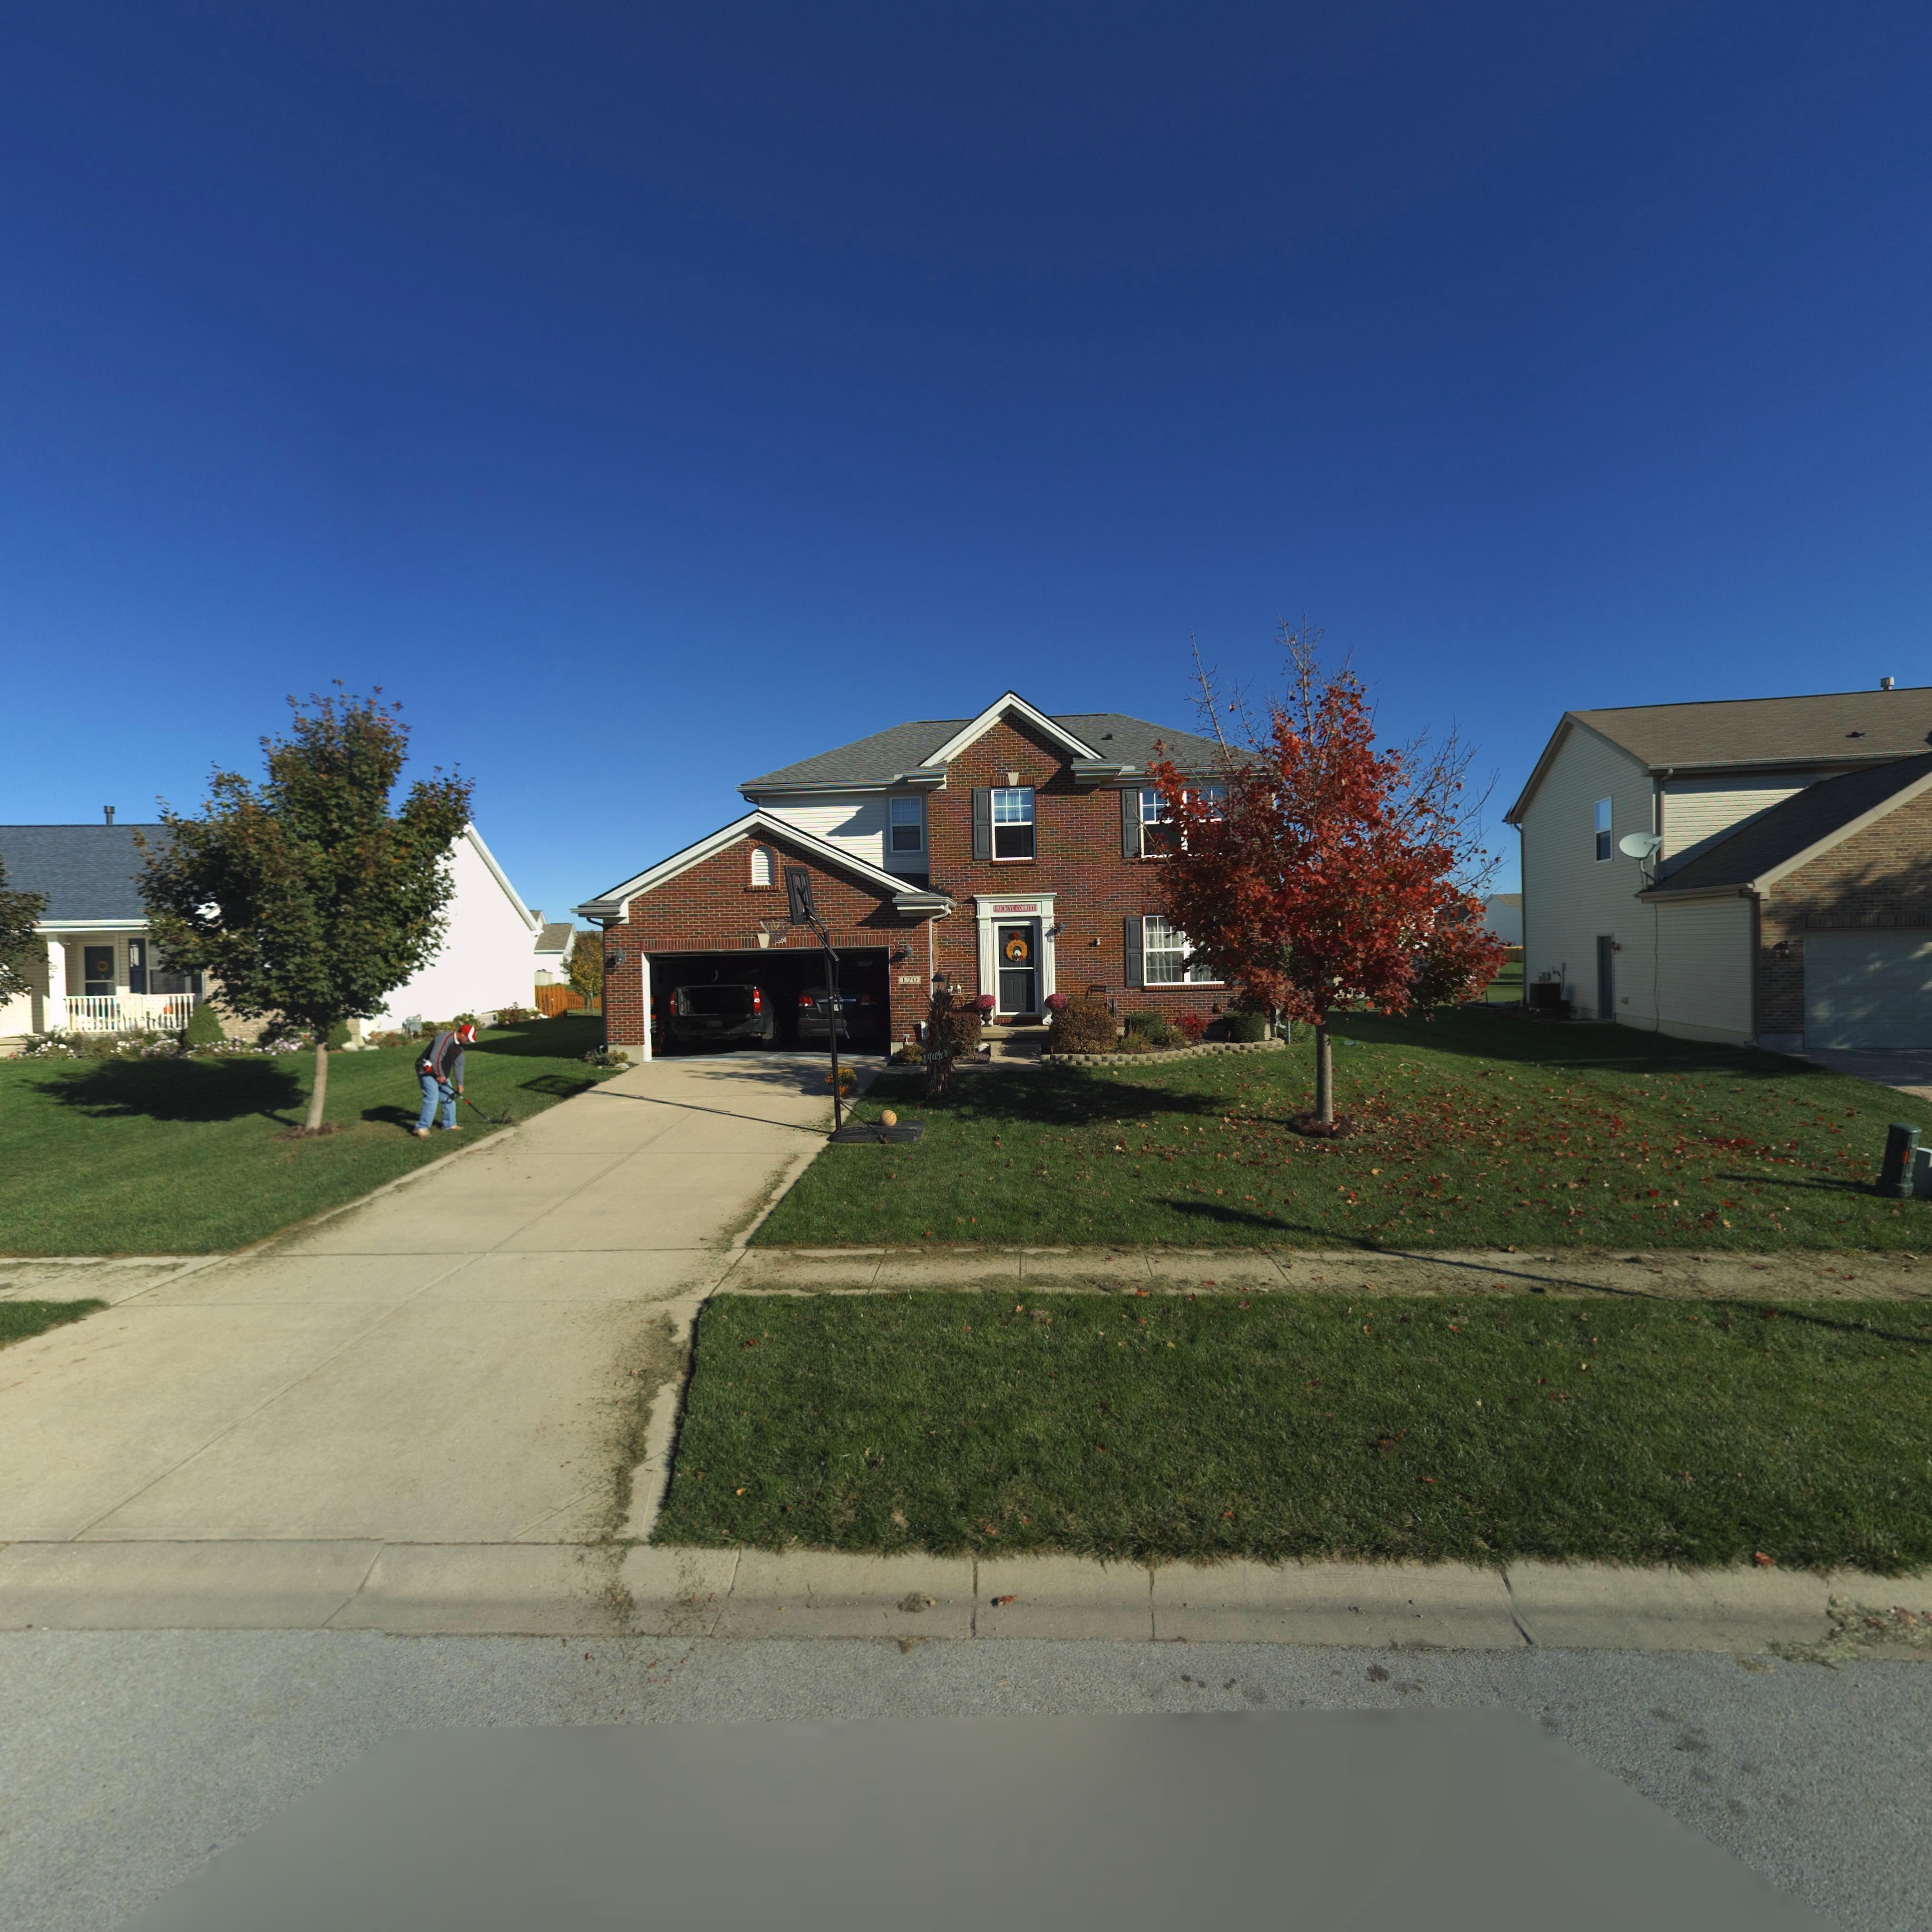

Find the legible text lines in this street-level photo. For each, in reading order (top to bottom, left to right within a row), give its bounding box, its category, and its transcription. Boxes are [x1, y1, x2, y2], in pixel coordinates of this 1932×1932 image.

[902, 977, 918, 983] StreetNumber: 170